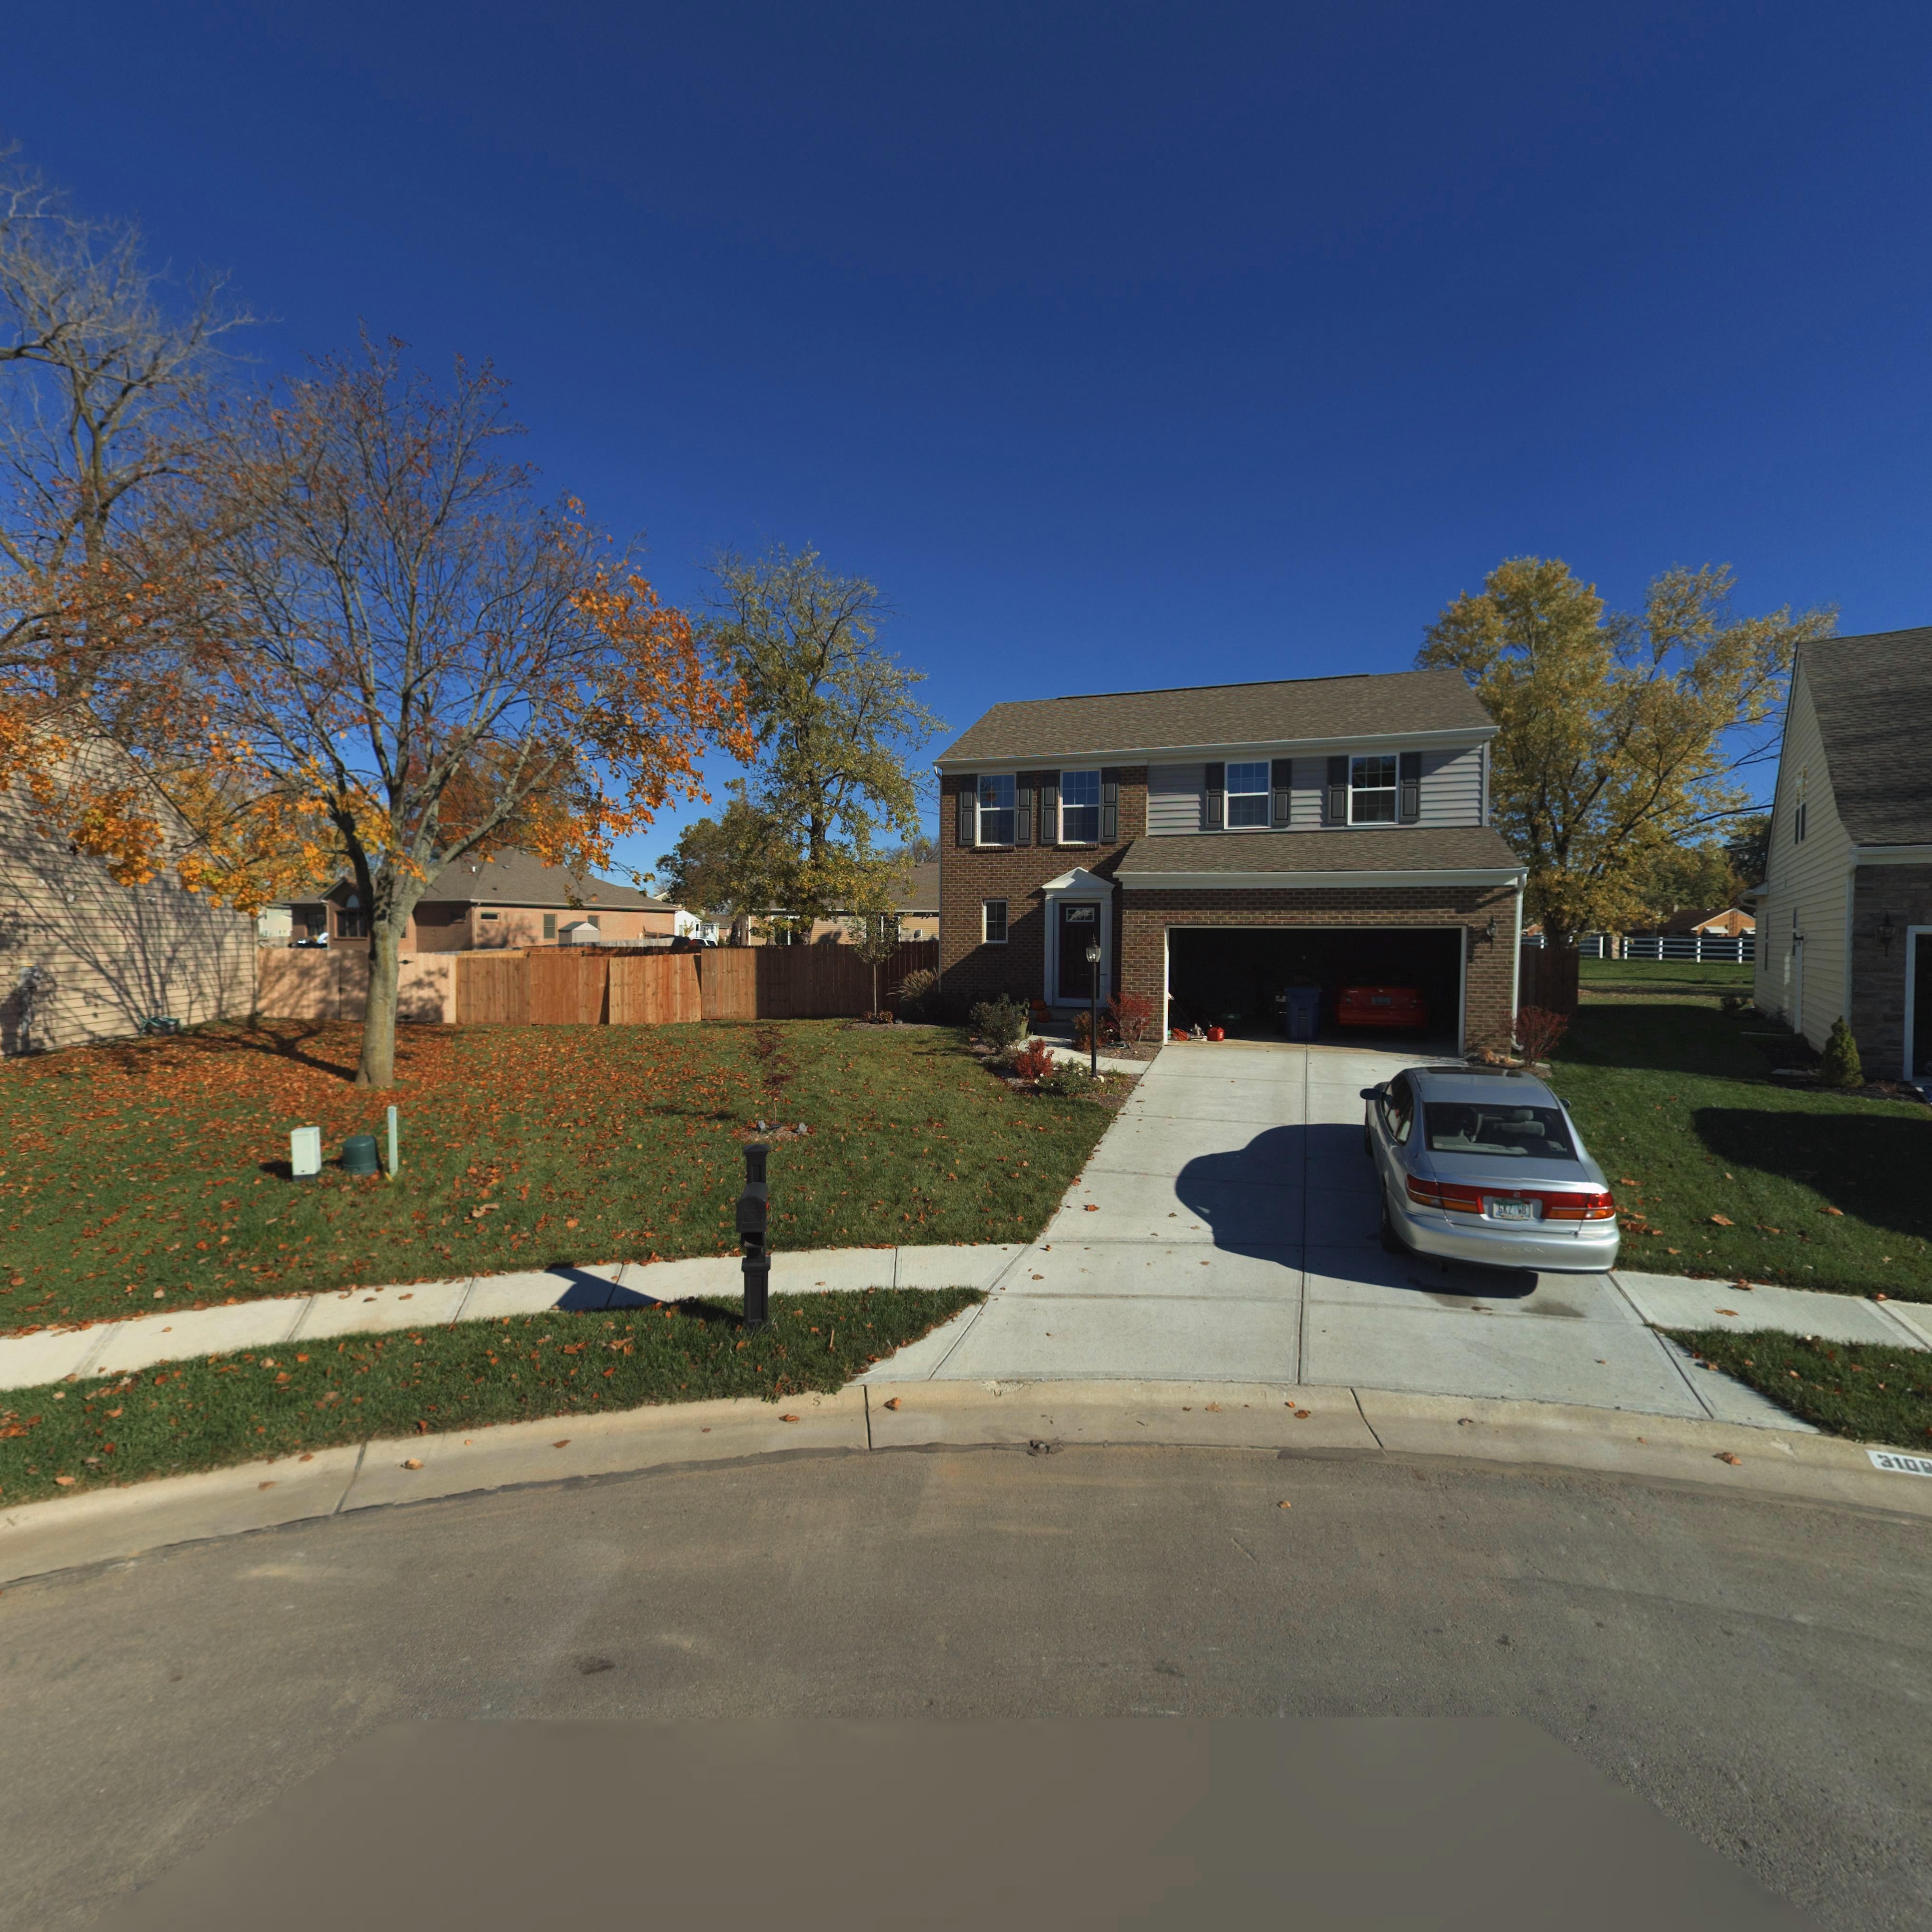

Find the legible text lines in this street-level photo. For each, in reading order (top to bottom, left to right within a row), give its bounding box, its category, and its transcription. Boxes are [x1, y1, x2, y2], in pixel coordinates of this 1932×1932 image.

[1875, 1453, 1922, 1472] StreetNumber: 310